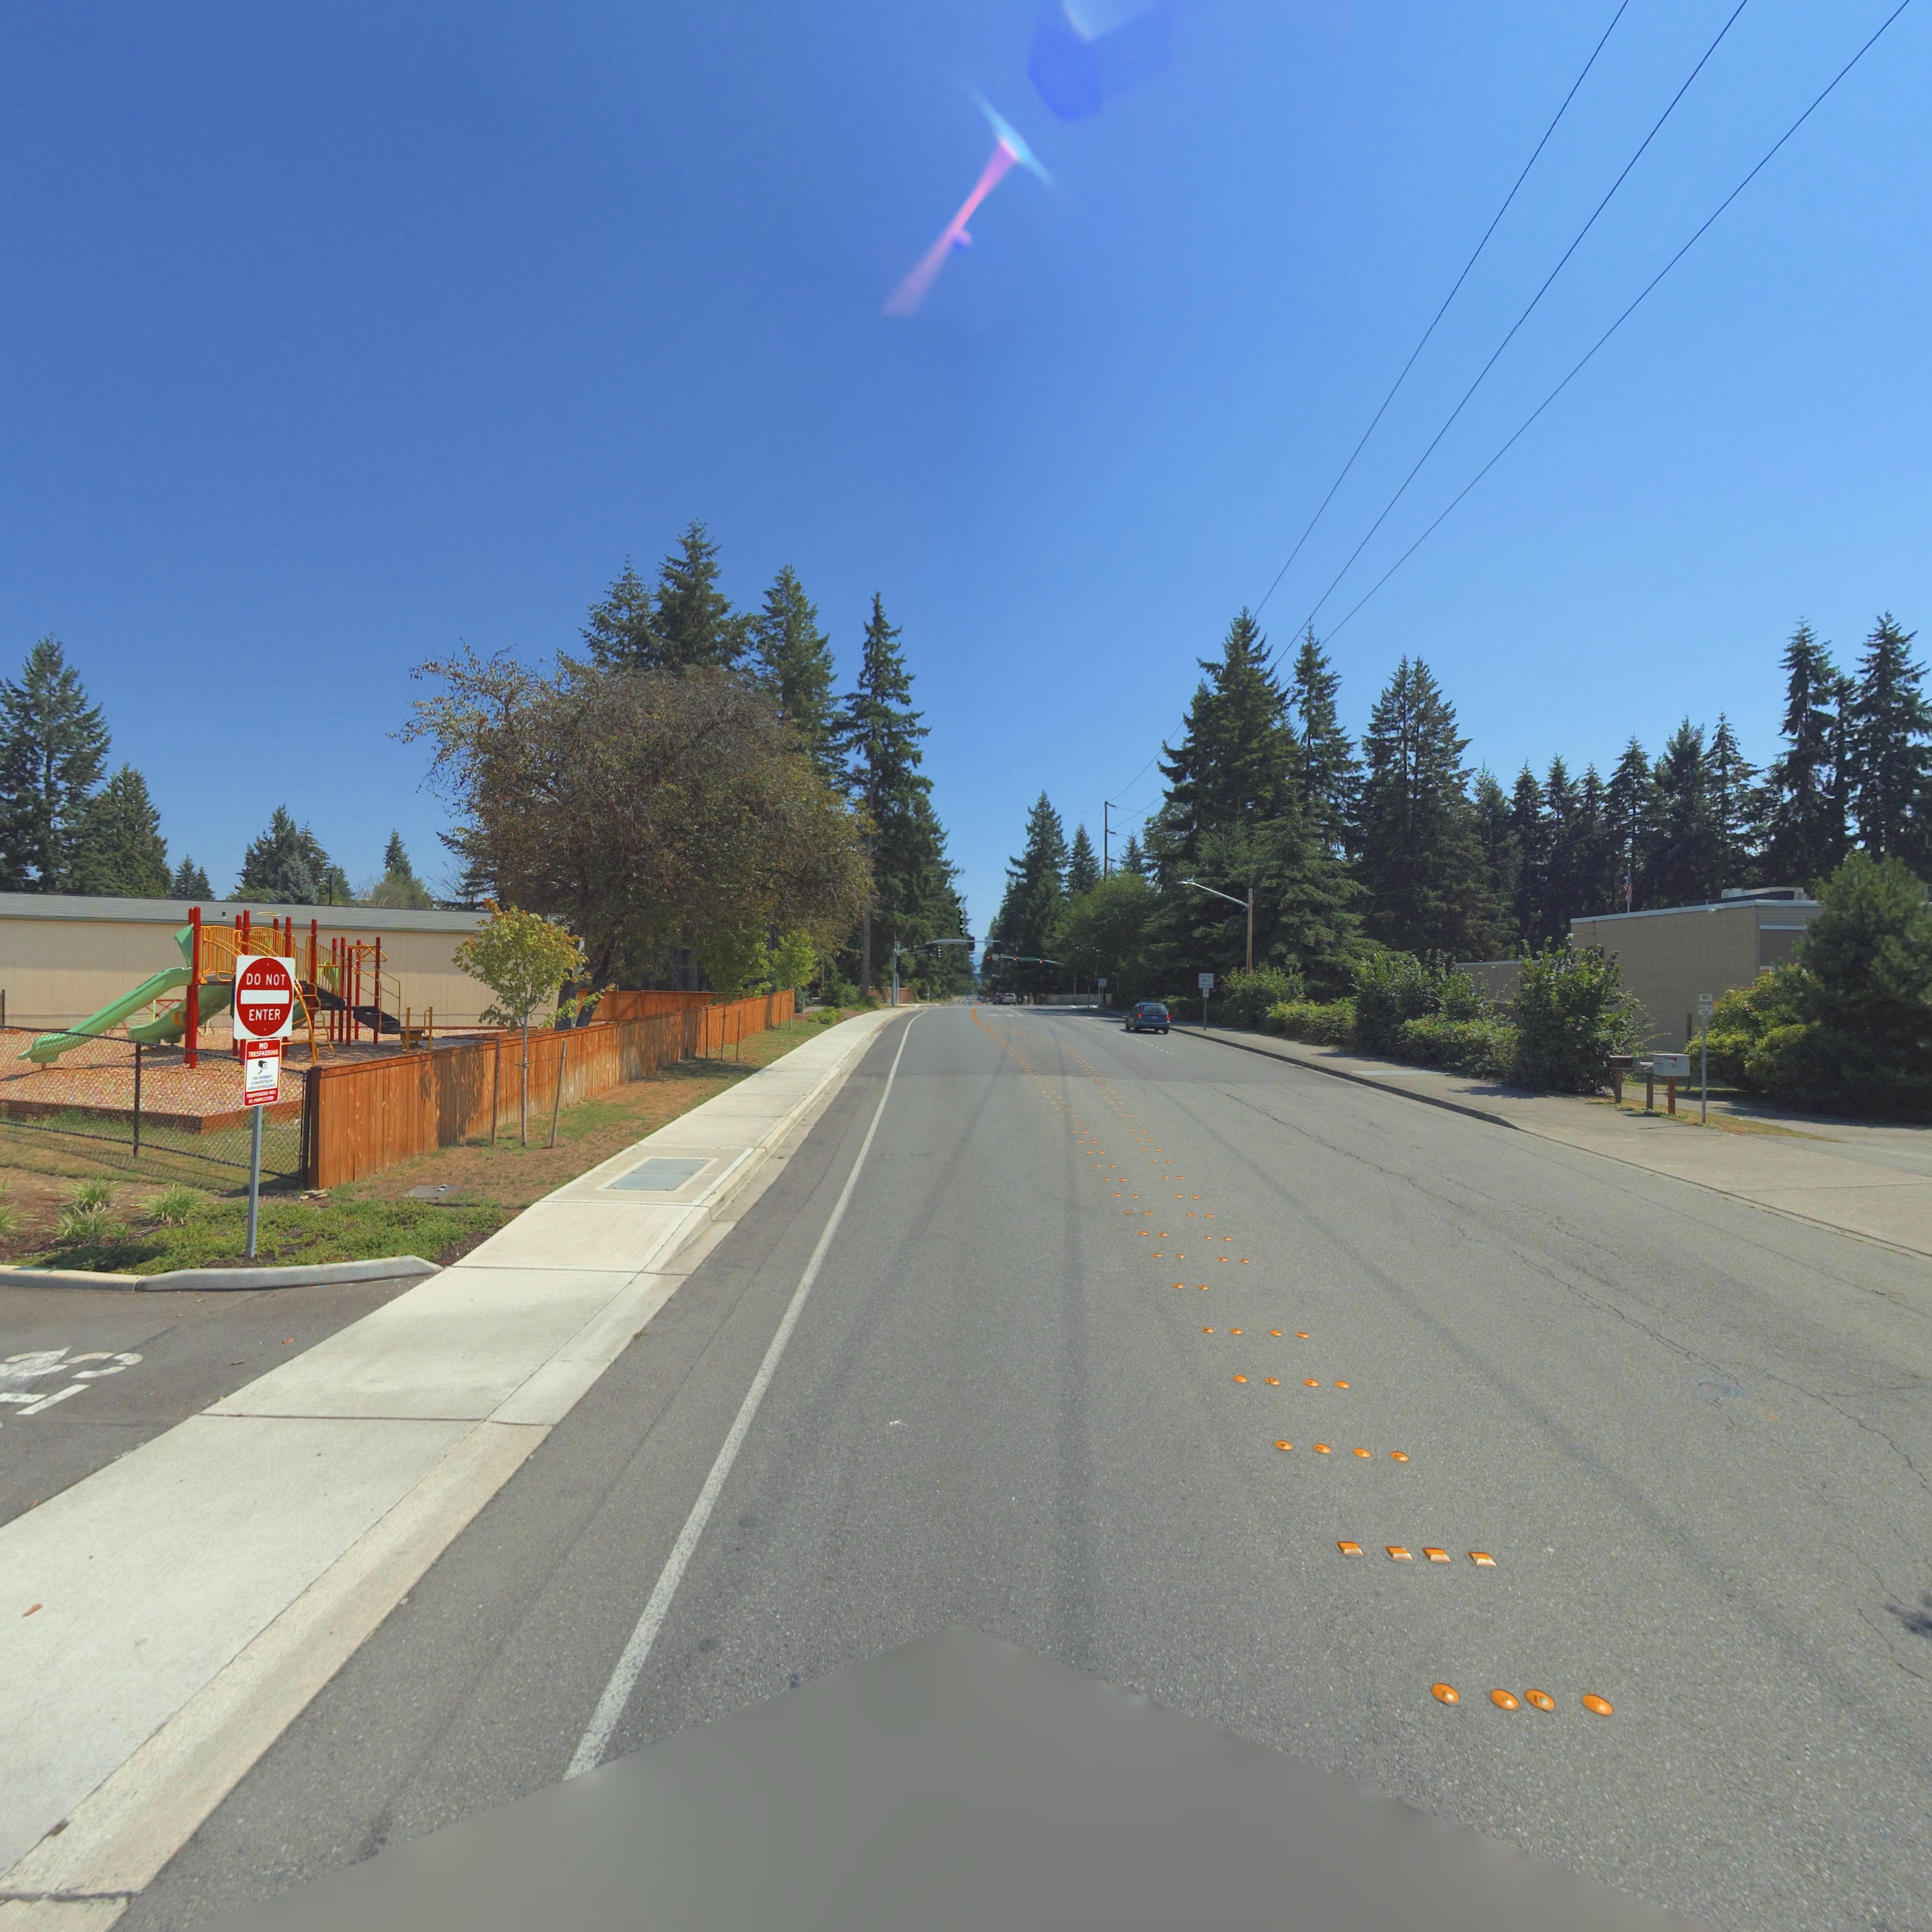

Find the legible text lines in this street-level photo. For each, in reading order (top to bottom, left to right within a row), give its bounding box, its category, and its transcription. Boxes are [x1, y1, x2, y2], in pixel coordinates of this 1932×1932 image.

[249, 1008, 280, 1020] BusinessName: ENTER